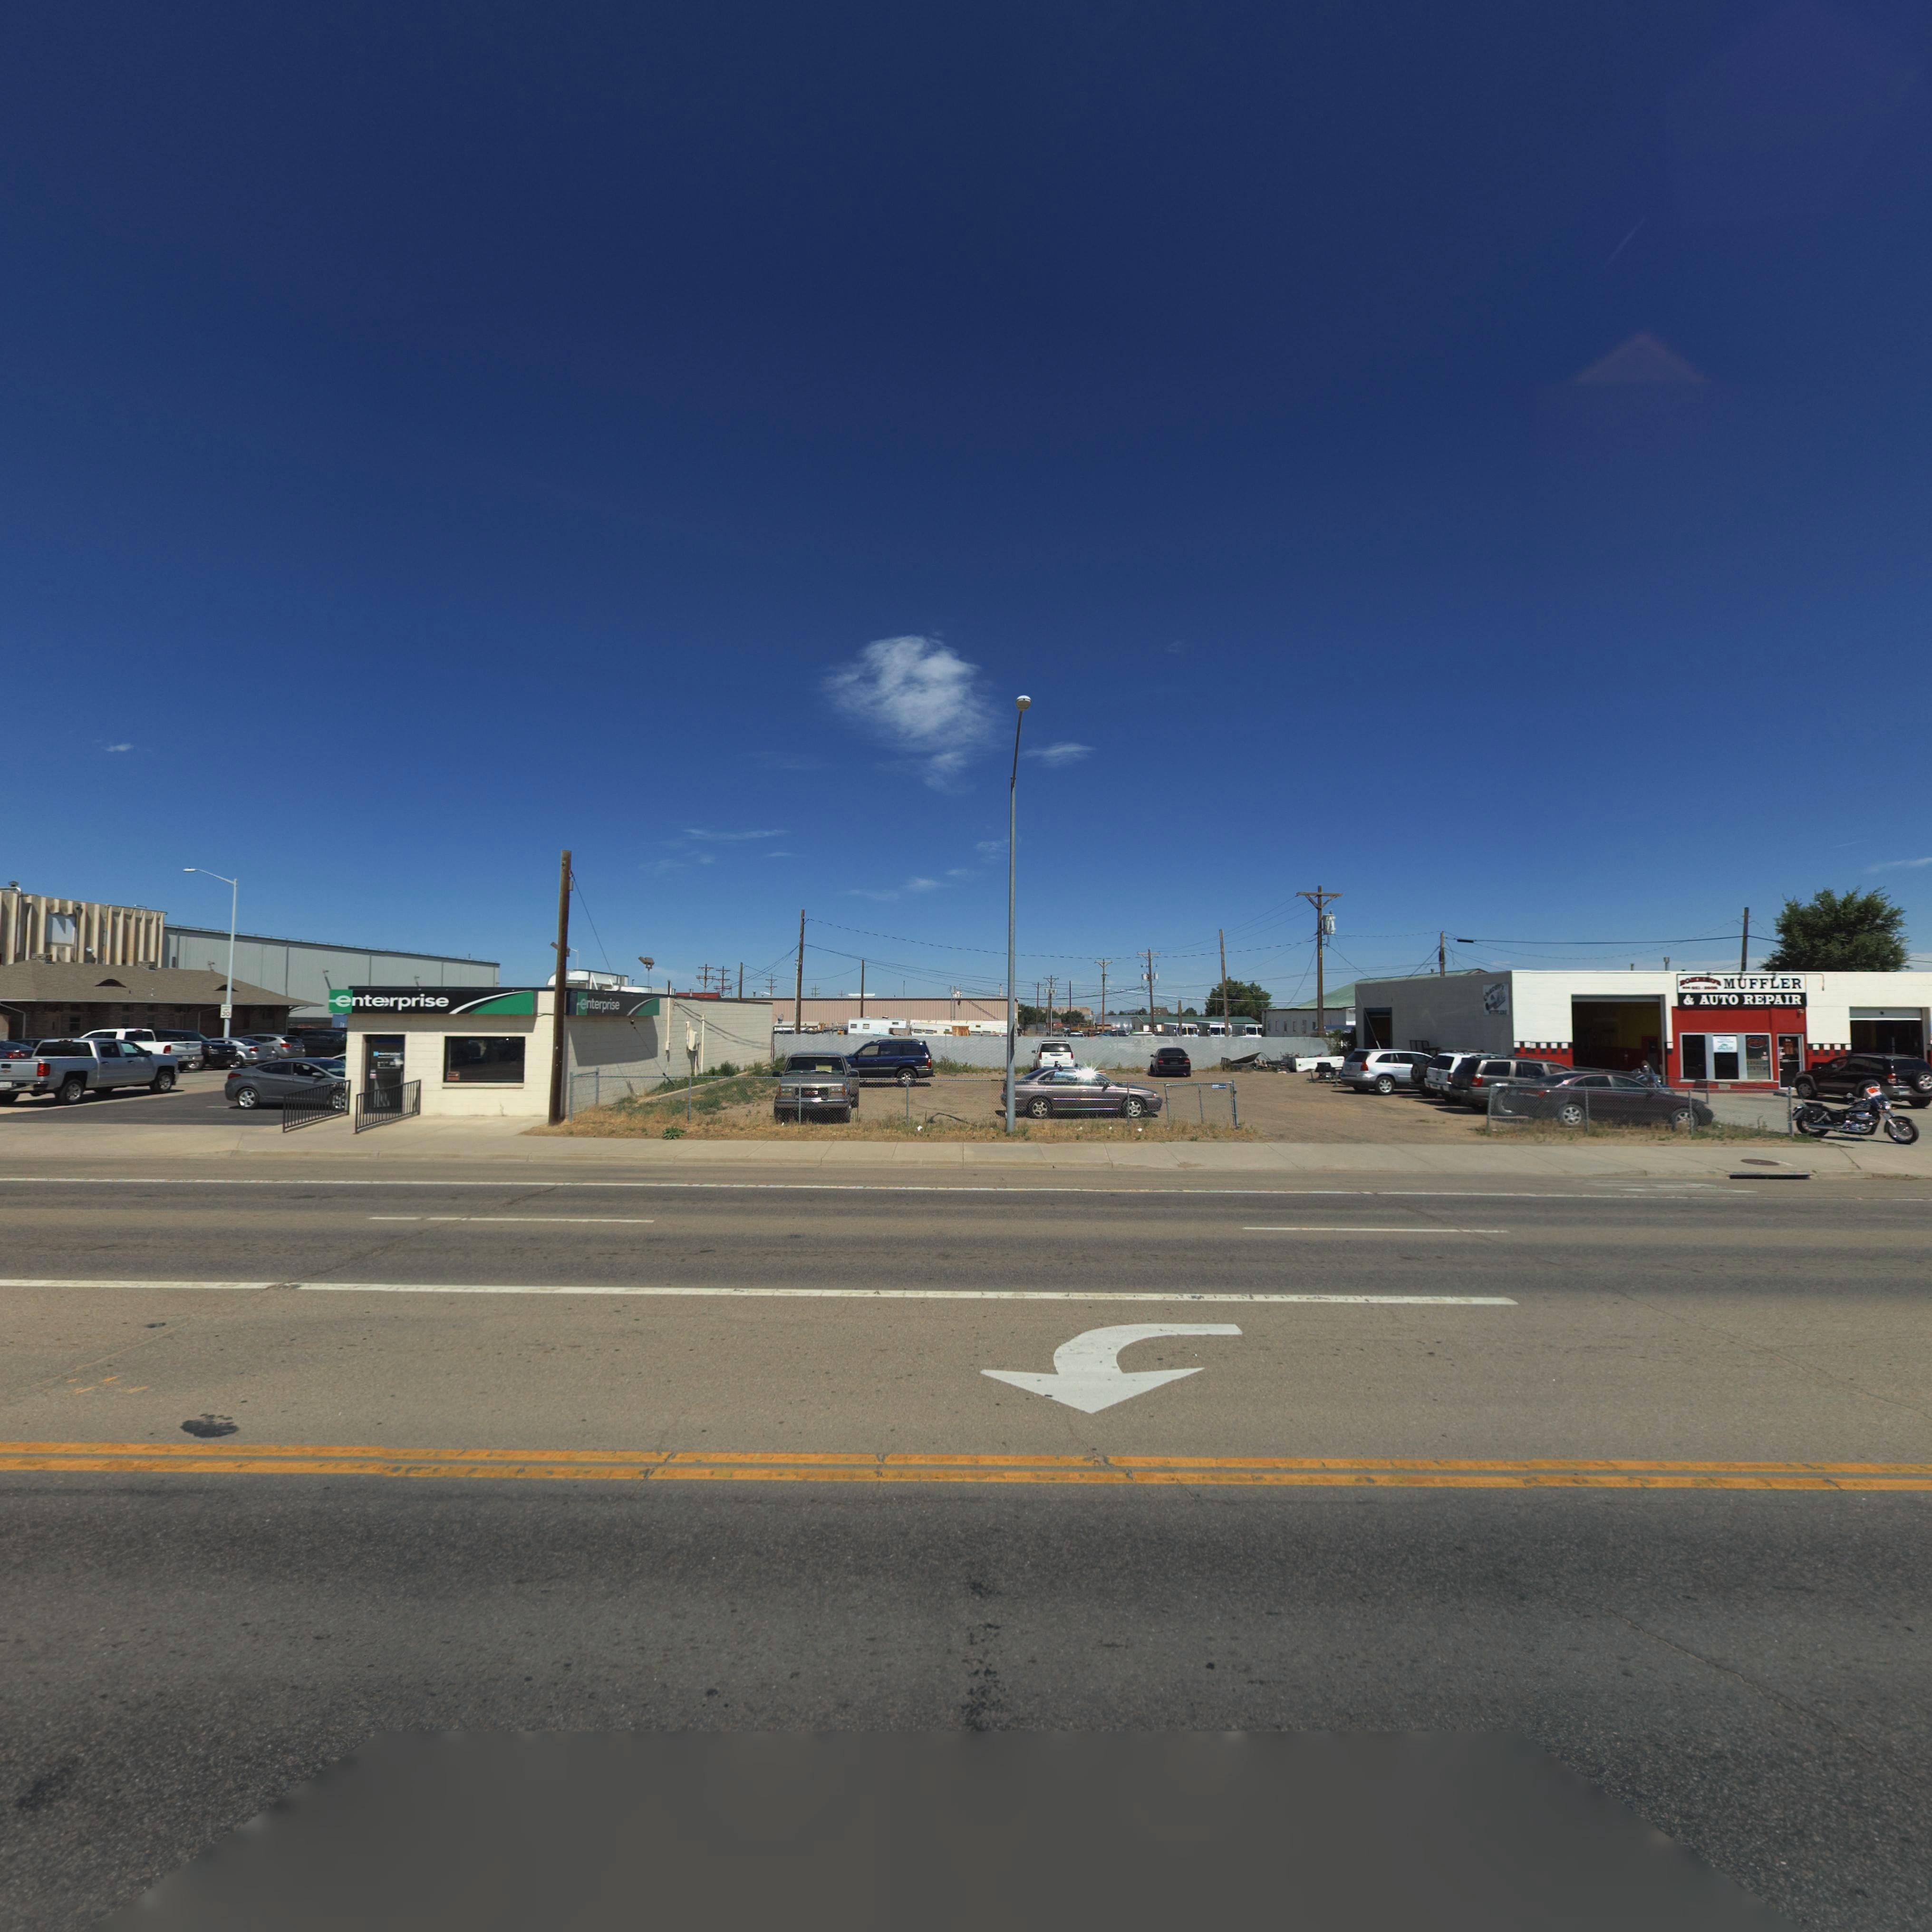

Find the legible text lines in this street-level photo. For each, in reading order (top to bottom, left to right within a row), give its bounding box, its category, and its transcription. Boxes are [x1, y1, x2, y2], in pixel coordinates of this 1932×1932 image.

[1679, 976, 1721, 986] BusinessName: RO******
[1723, 977, 1802, 989] BusinessName: MUFFLER
[1483, 985, 1495, 1002] BusinessName: Chac
[334, 993, 450, 1011] BusinessName: ente*rprise
[580, 997, 620, 1013] BusinessName: enterprise
[1682, 994, 1802, 1005] BusinessName: & AUTO REPAIR
[1497, 1010, 1507, 1014] BusinessName: LERS